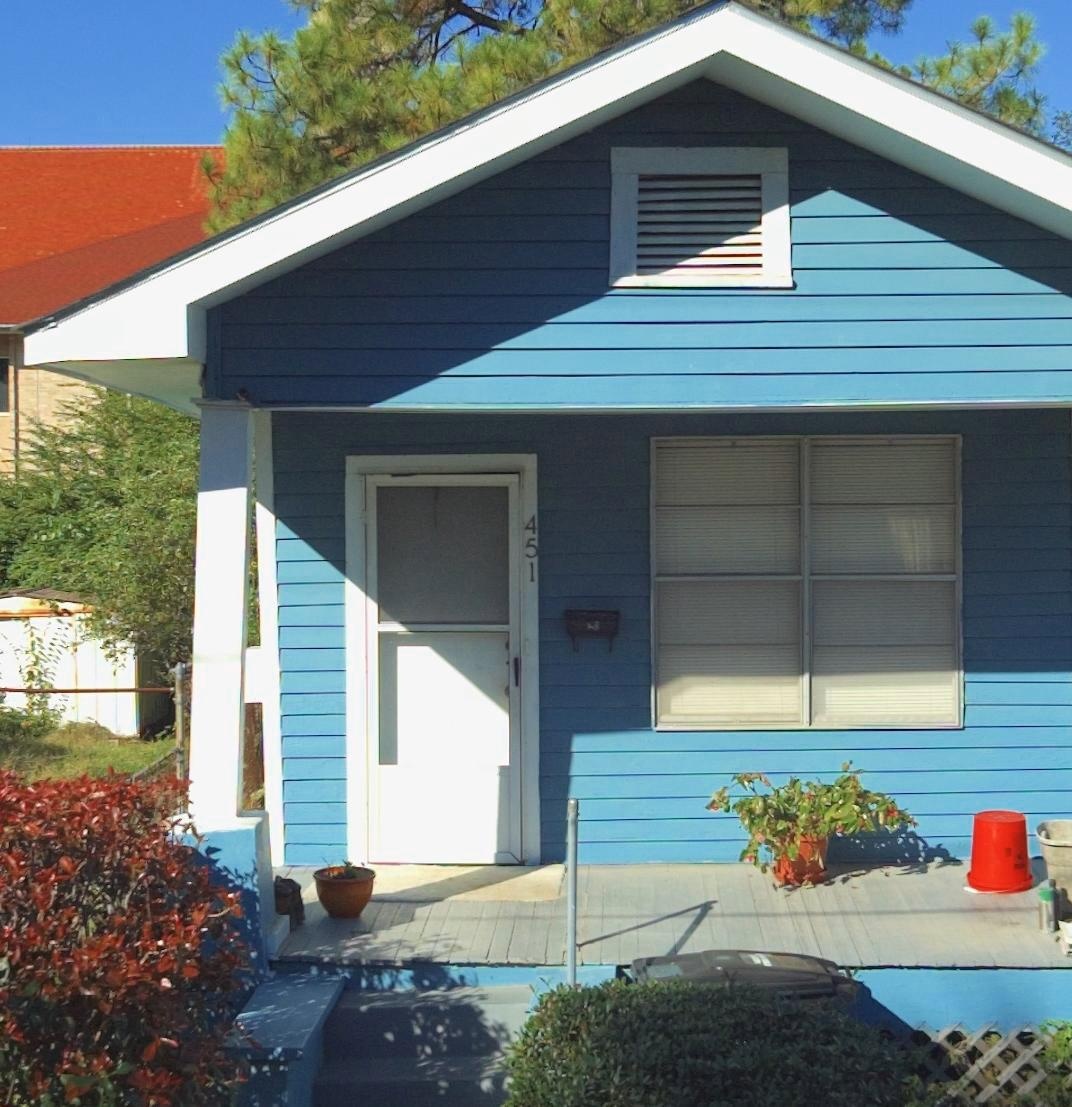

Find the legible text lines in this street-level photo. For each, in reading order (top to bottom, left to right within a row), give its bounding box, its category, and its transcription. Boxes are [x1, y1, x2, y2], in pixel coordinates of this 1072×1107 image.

[521, 512, 540, 585] StreetNumber: 451